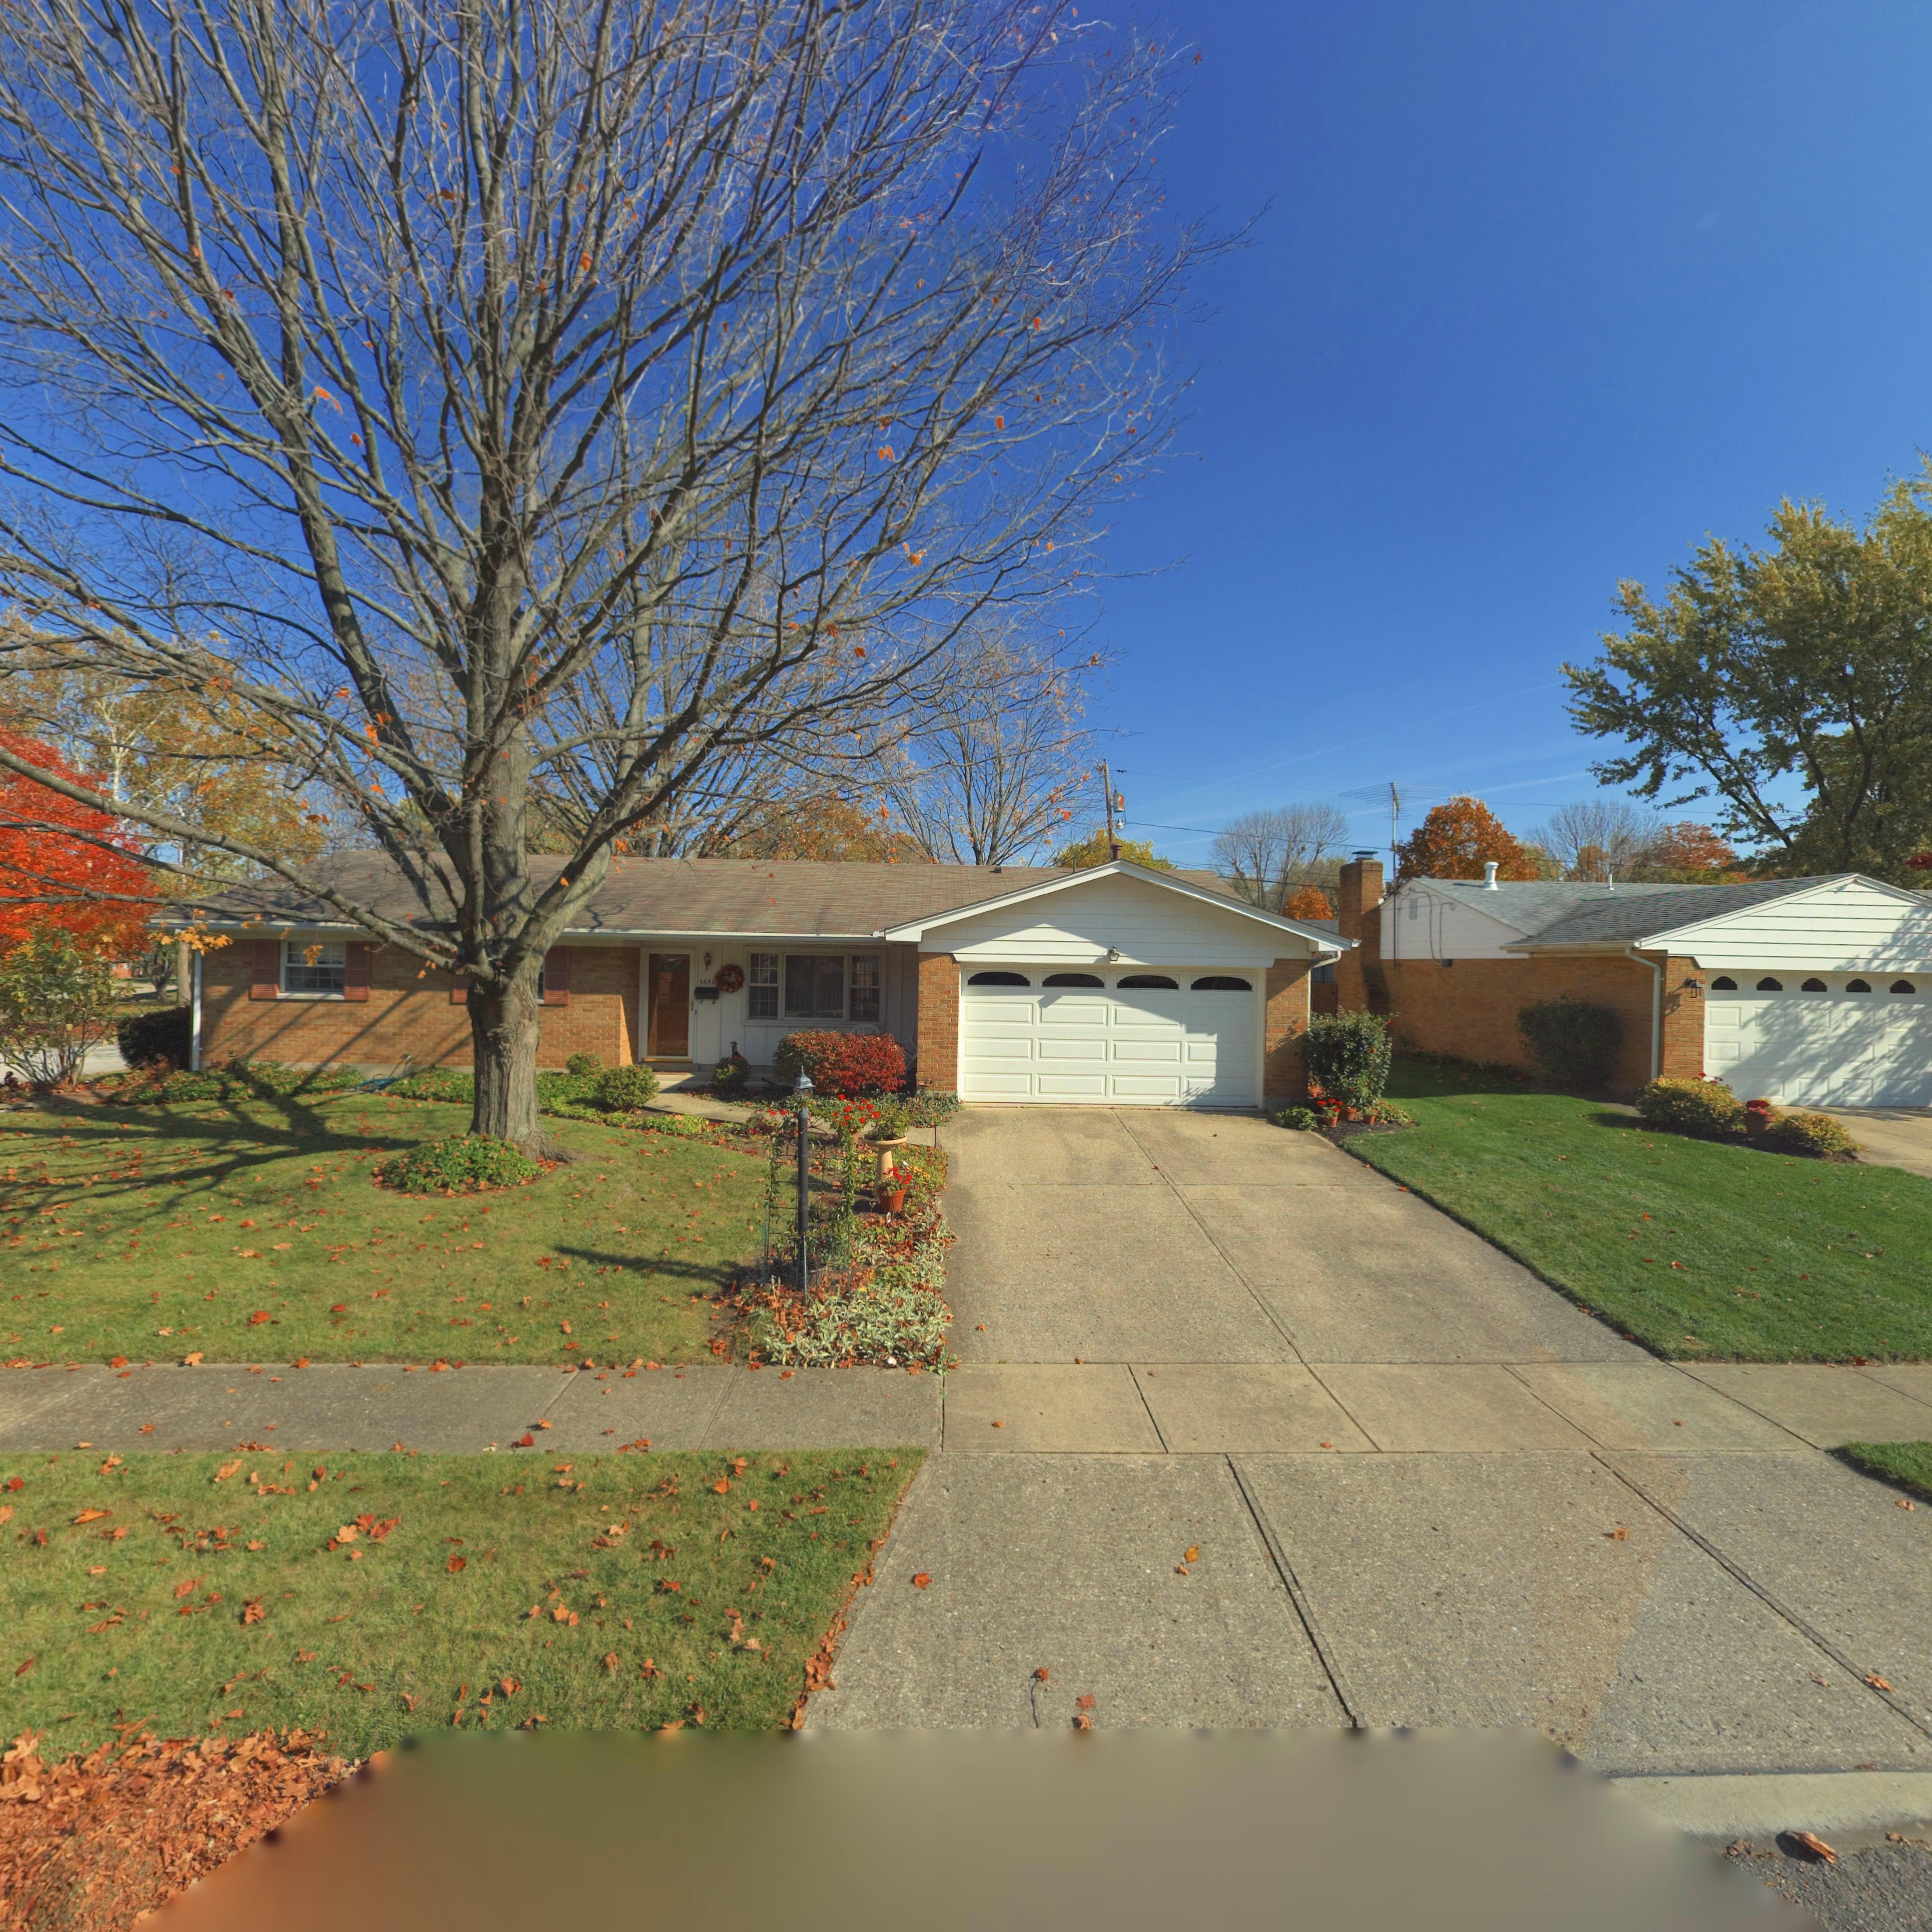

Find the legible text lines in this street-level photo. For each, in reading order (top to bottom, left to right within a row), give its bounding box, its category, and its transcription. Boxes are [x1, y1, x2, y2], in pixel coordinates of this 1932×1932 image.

[698, 978, 716, 985] StreetNumber: 3650